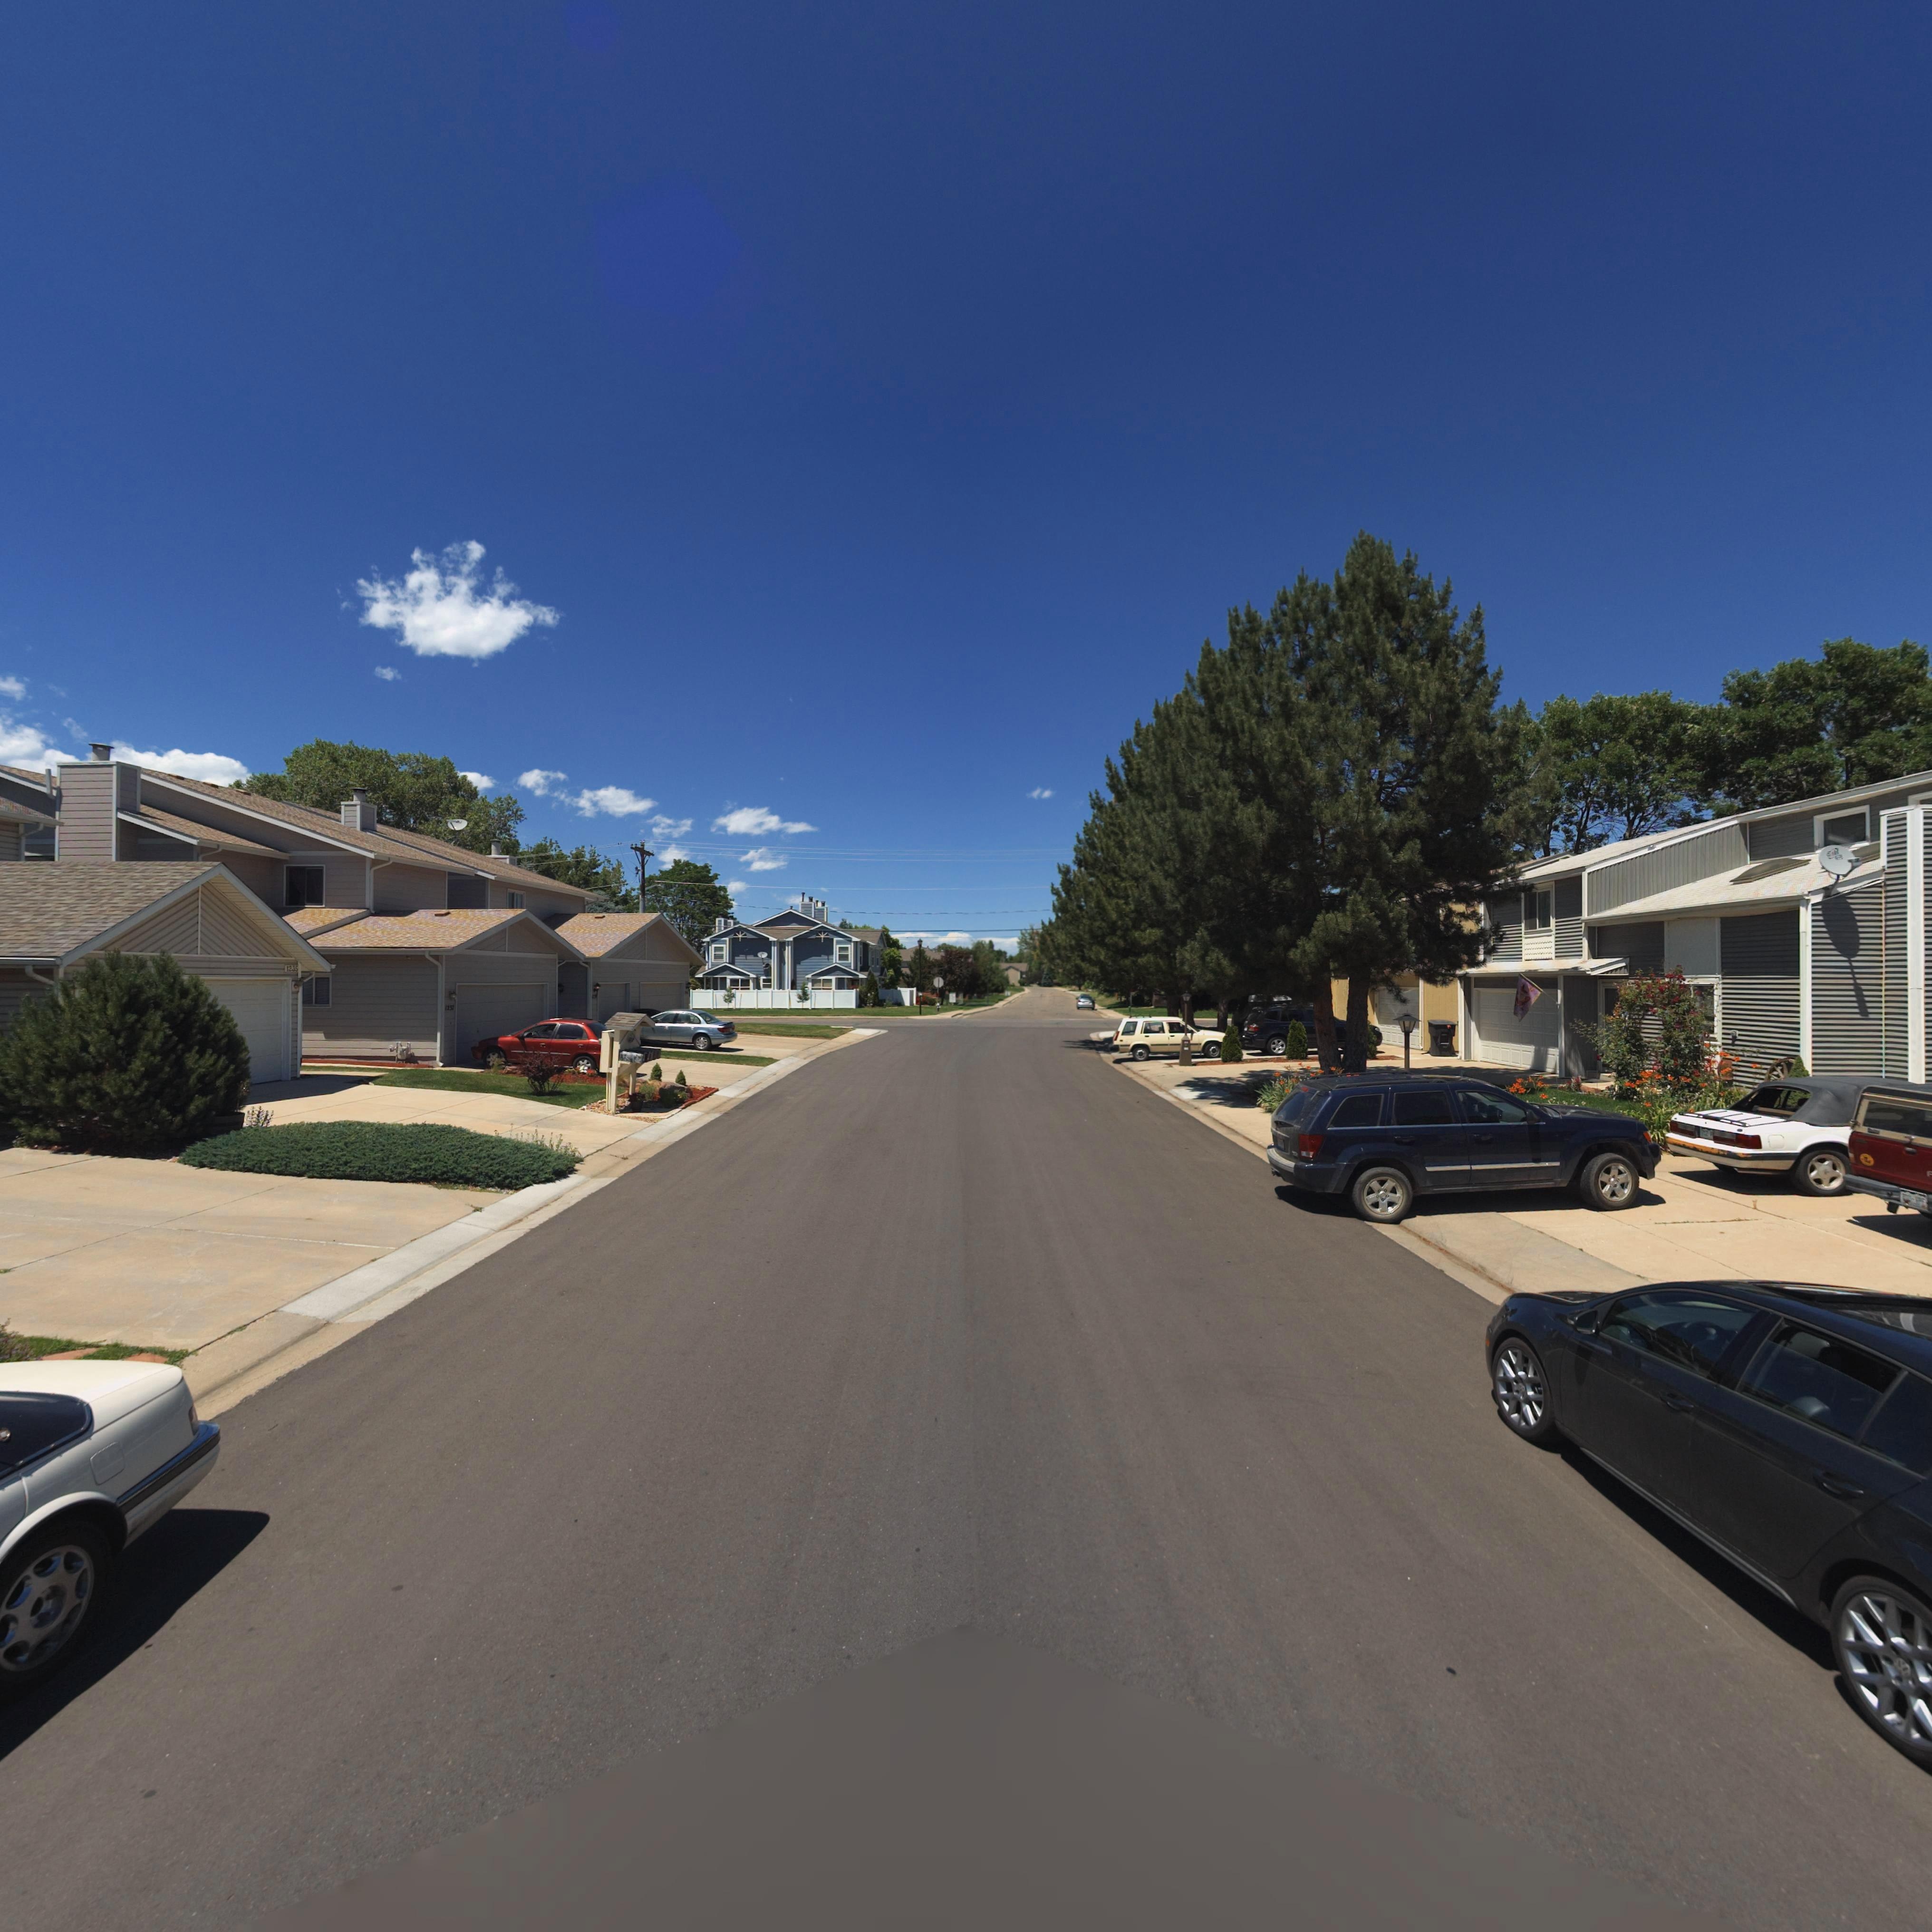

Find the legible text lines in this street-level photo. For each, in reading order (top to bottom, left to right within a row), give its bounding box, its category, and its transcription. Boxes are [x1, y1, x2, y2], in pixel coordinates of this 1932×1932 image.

[285, 965, 298, 972] StreetNumber: 1235
[444, 1005, 455, 1011] StreetNumber: 1237